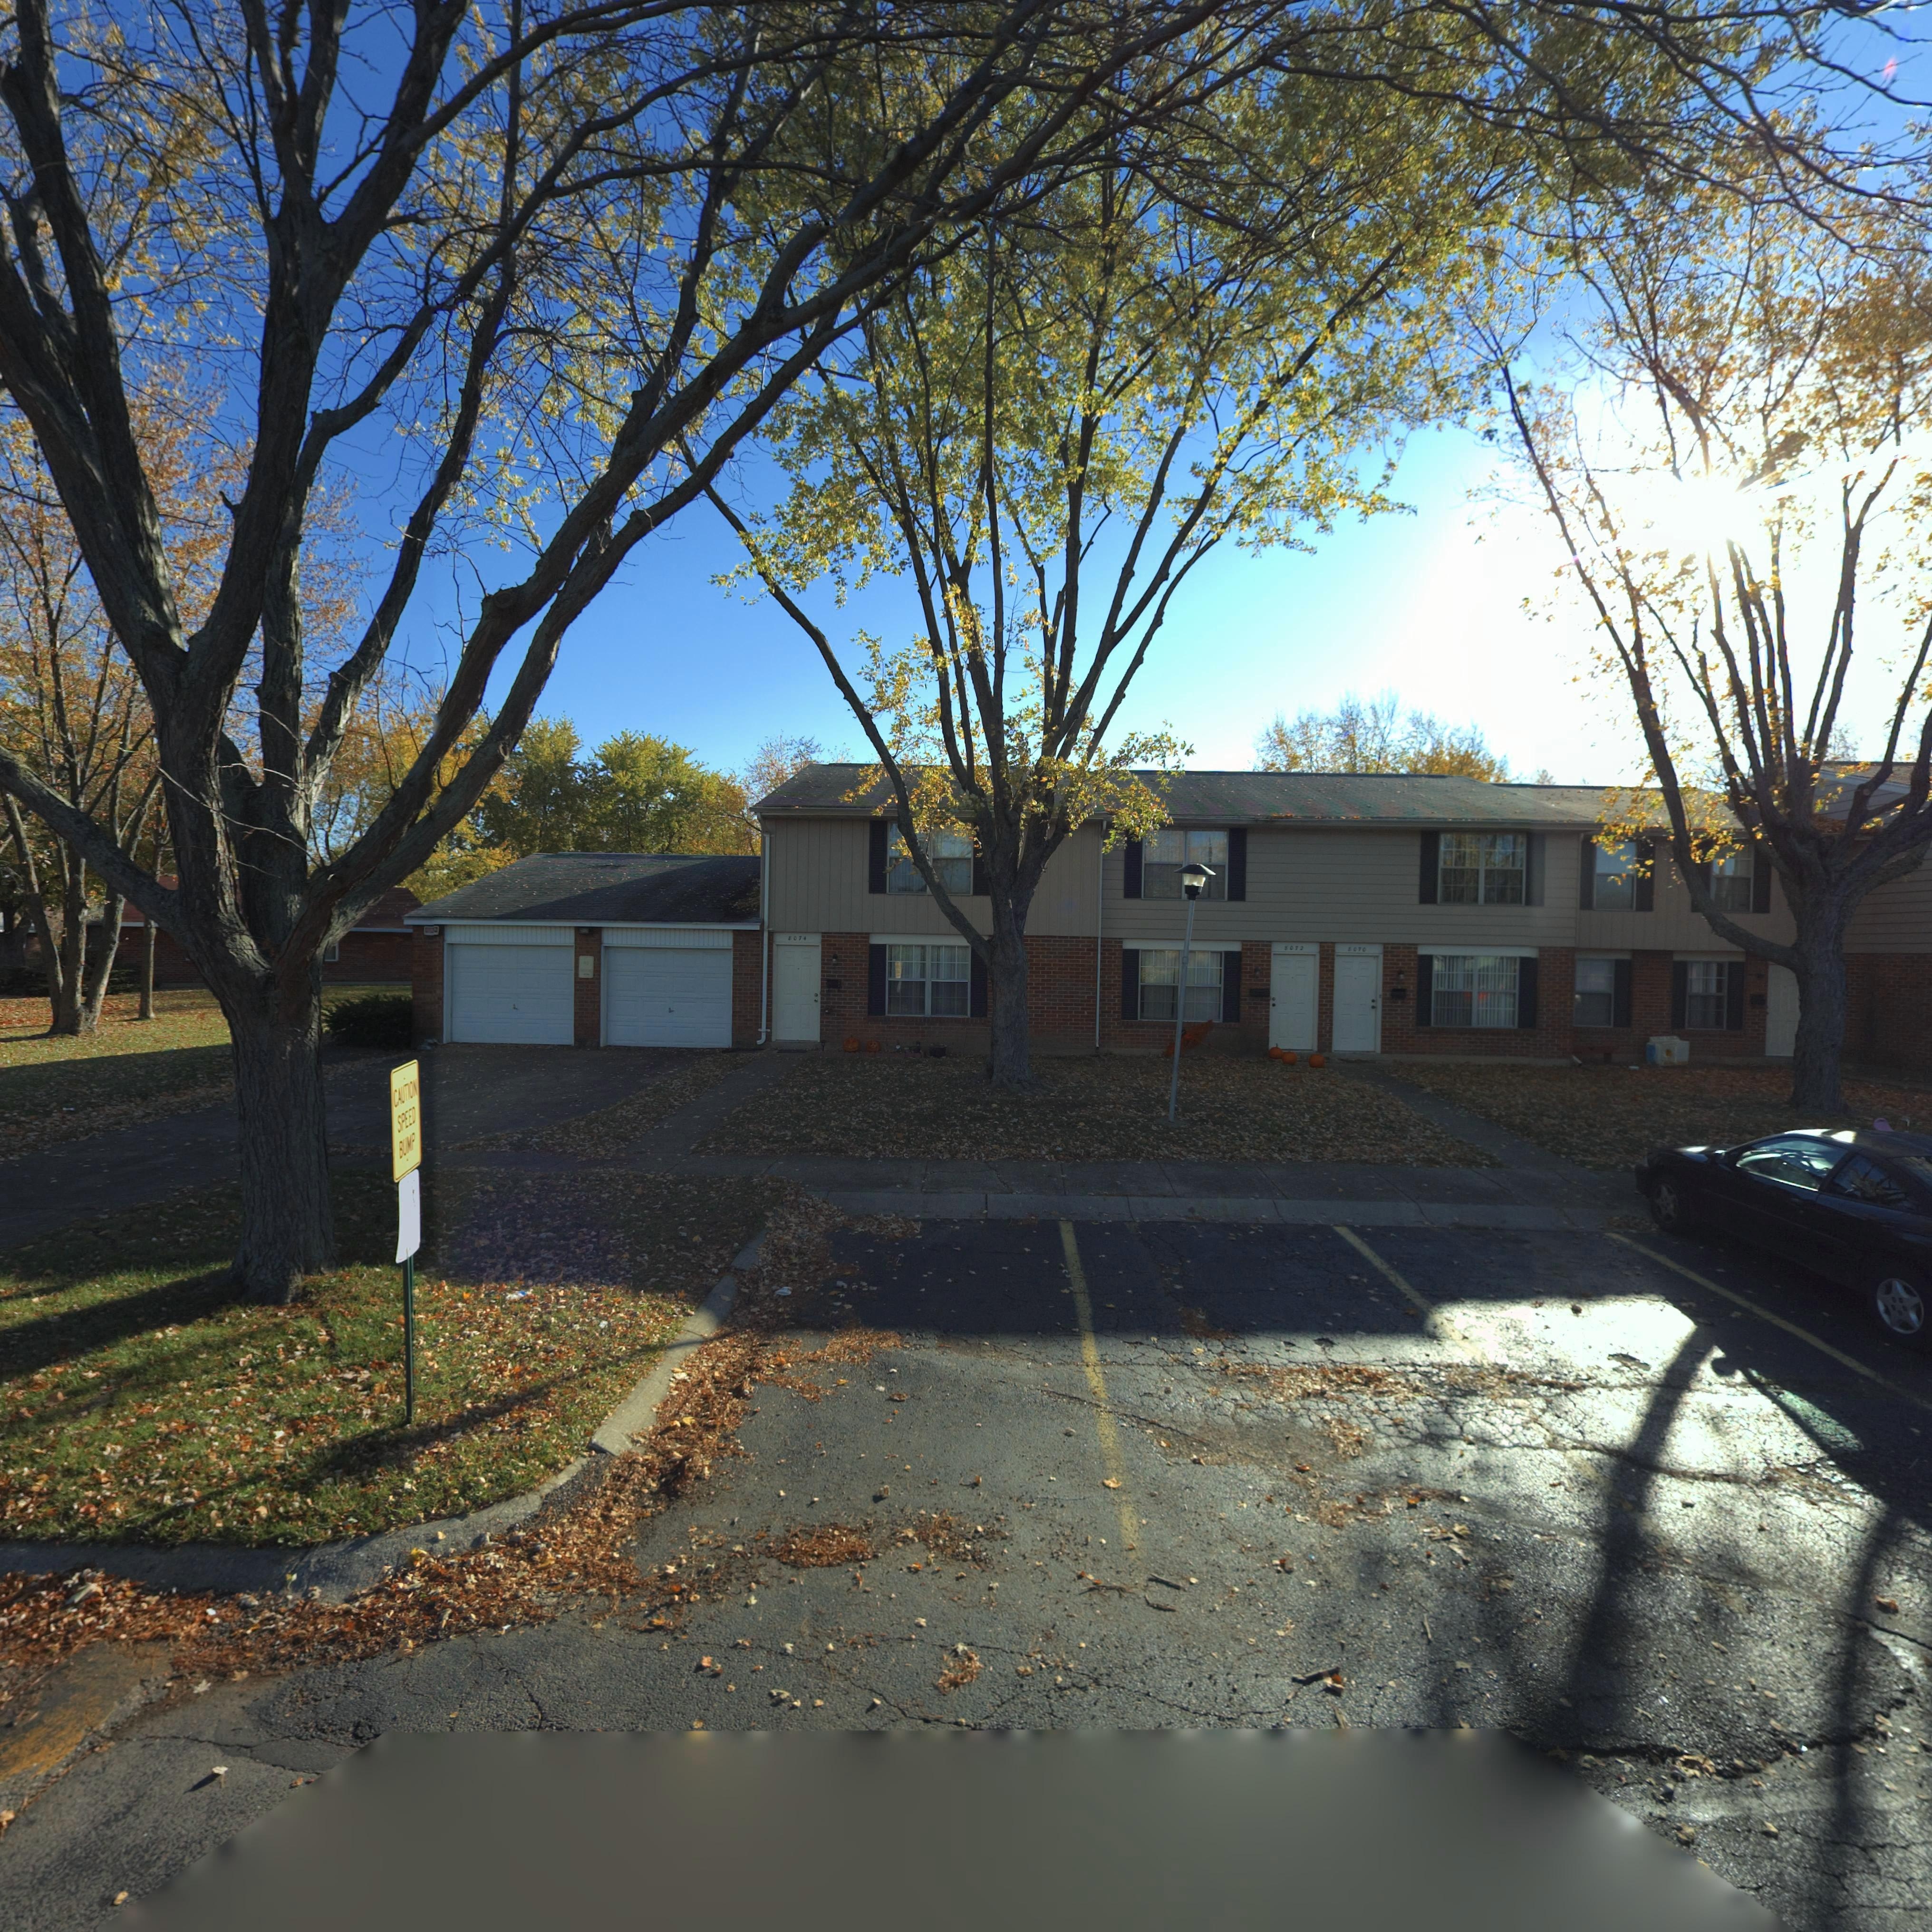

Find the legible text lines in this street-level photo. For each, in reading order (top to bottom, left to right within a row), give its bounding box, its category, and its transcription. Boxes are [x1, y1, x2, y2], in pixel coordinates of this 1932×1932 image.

[787, 935, 807, 941] StreetNumber: 8074
[1284, 945, 1304, 951] StreetNumber: 8072
[1347, 946, 1367, 952] StreetNumber: 8070